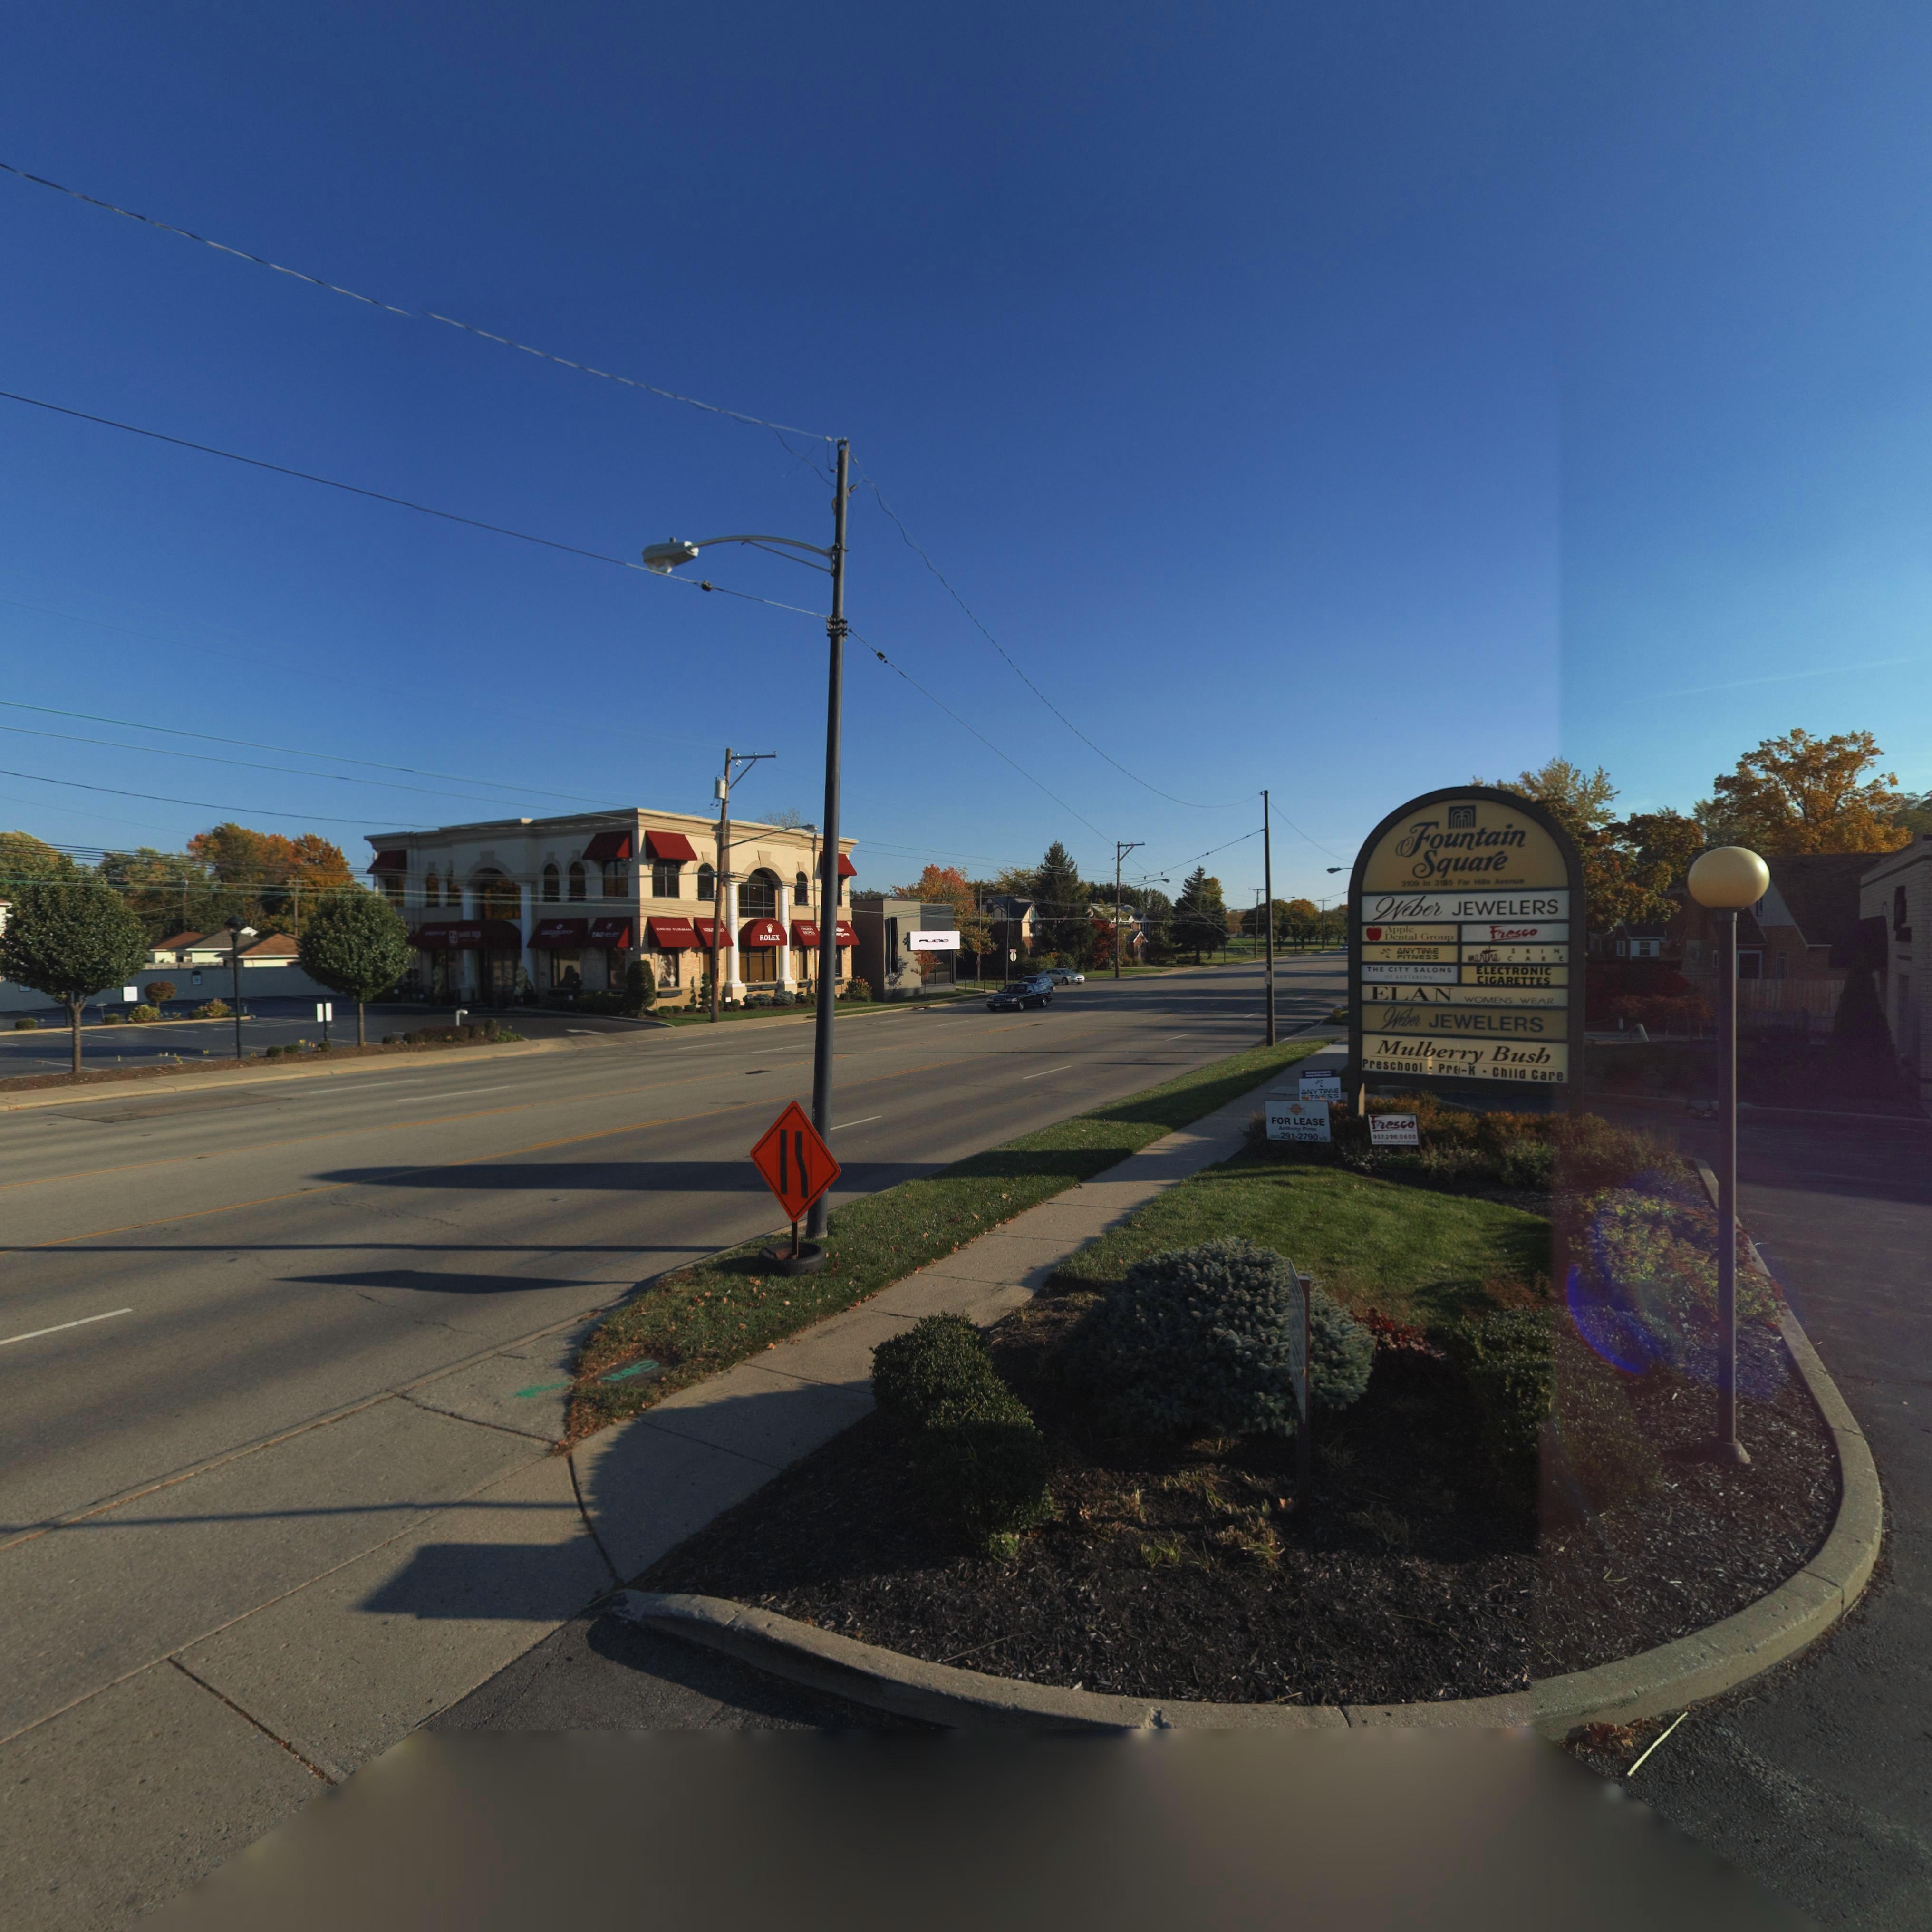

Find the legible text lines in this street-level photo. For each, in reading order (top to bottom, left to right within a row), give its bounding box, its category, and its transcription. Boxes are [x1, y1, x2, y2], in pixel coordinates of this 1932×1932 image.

[1400, 880, 1420, 888] StreetNumber: 3109
[1433, 879, 1453, 887] StreetNumber: 3155
[1457, 878, 1526, 887] StreetName: Far Hills Avenue
[1372, 894, 1560, 921] BusinessName: Weber JEWELERS
[590, 931, 605, 938] BusinessName: TAG
[1383, 925, 1415, 935] BusinessName: Apple
[1384, 932, 1455, 943] BusinessName: Dental Group
[1488, 925, 1538, 940] BusinessName: Fresco
[1395, 954, 1440, 960] BusinessName: FITNESS
[1395, 947, 1440, 955] BusinessName: ANYTIME
[1467, 946, 1502, 963] BusinessName: martha
[1510, 947, 1561, 955] BusinessName: SKIN
[1507, 955, 1565, 962] BusinessName: CARE
[1365, 966, 1453, 974] BusinessName: THE CITY SALONS
[1475, 965, 1553, 976] BusinessName: ELECTRONIC
[1476, 975, 1551, 986] BusinessName: CIGARETTES
[1369, 985, 1456, 1003] BusinessName: ELAN
[1463, 995, 1555, 1005] BusinessName: WOMENS WEAR
[1379, 1005, 1544, 1034] BusinessName: Weber JEWELERS
[1373, 1038, 1552, 1066] BusinessName: Mulberry Bush
[1369, 1114, 1416, 1130] None: Fresco